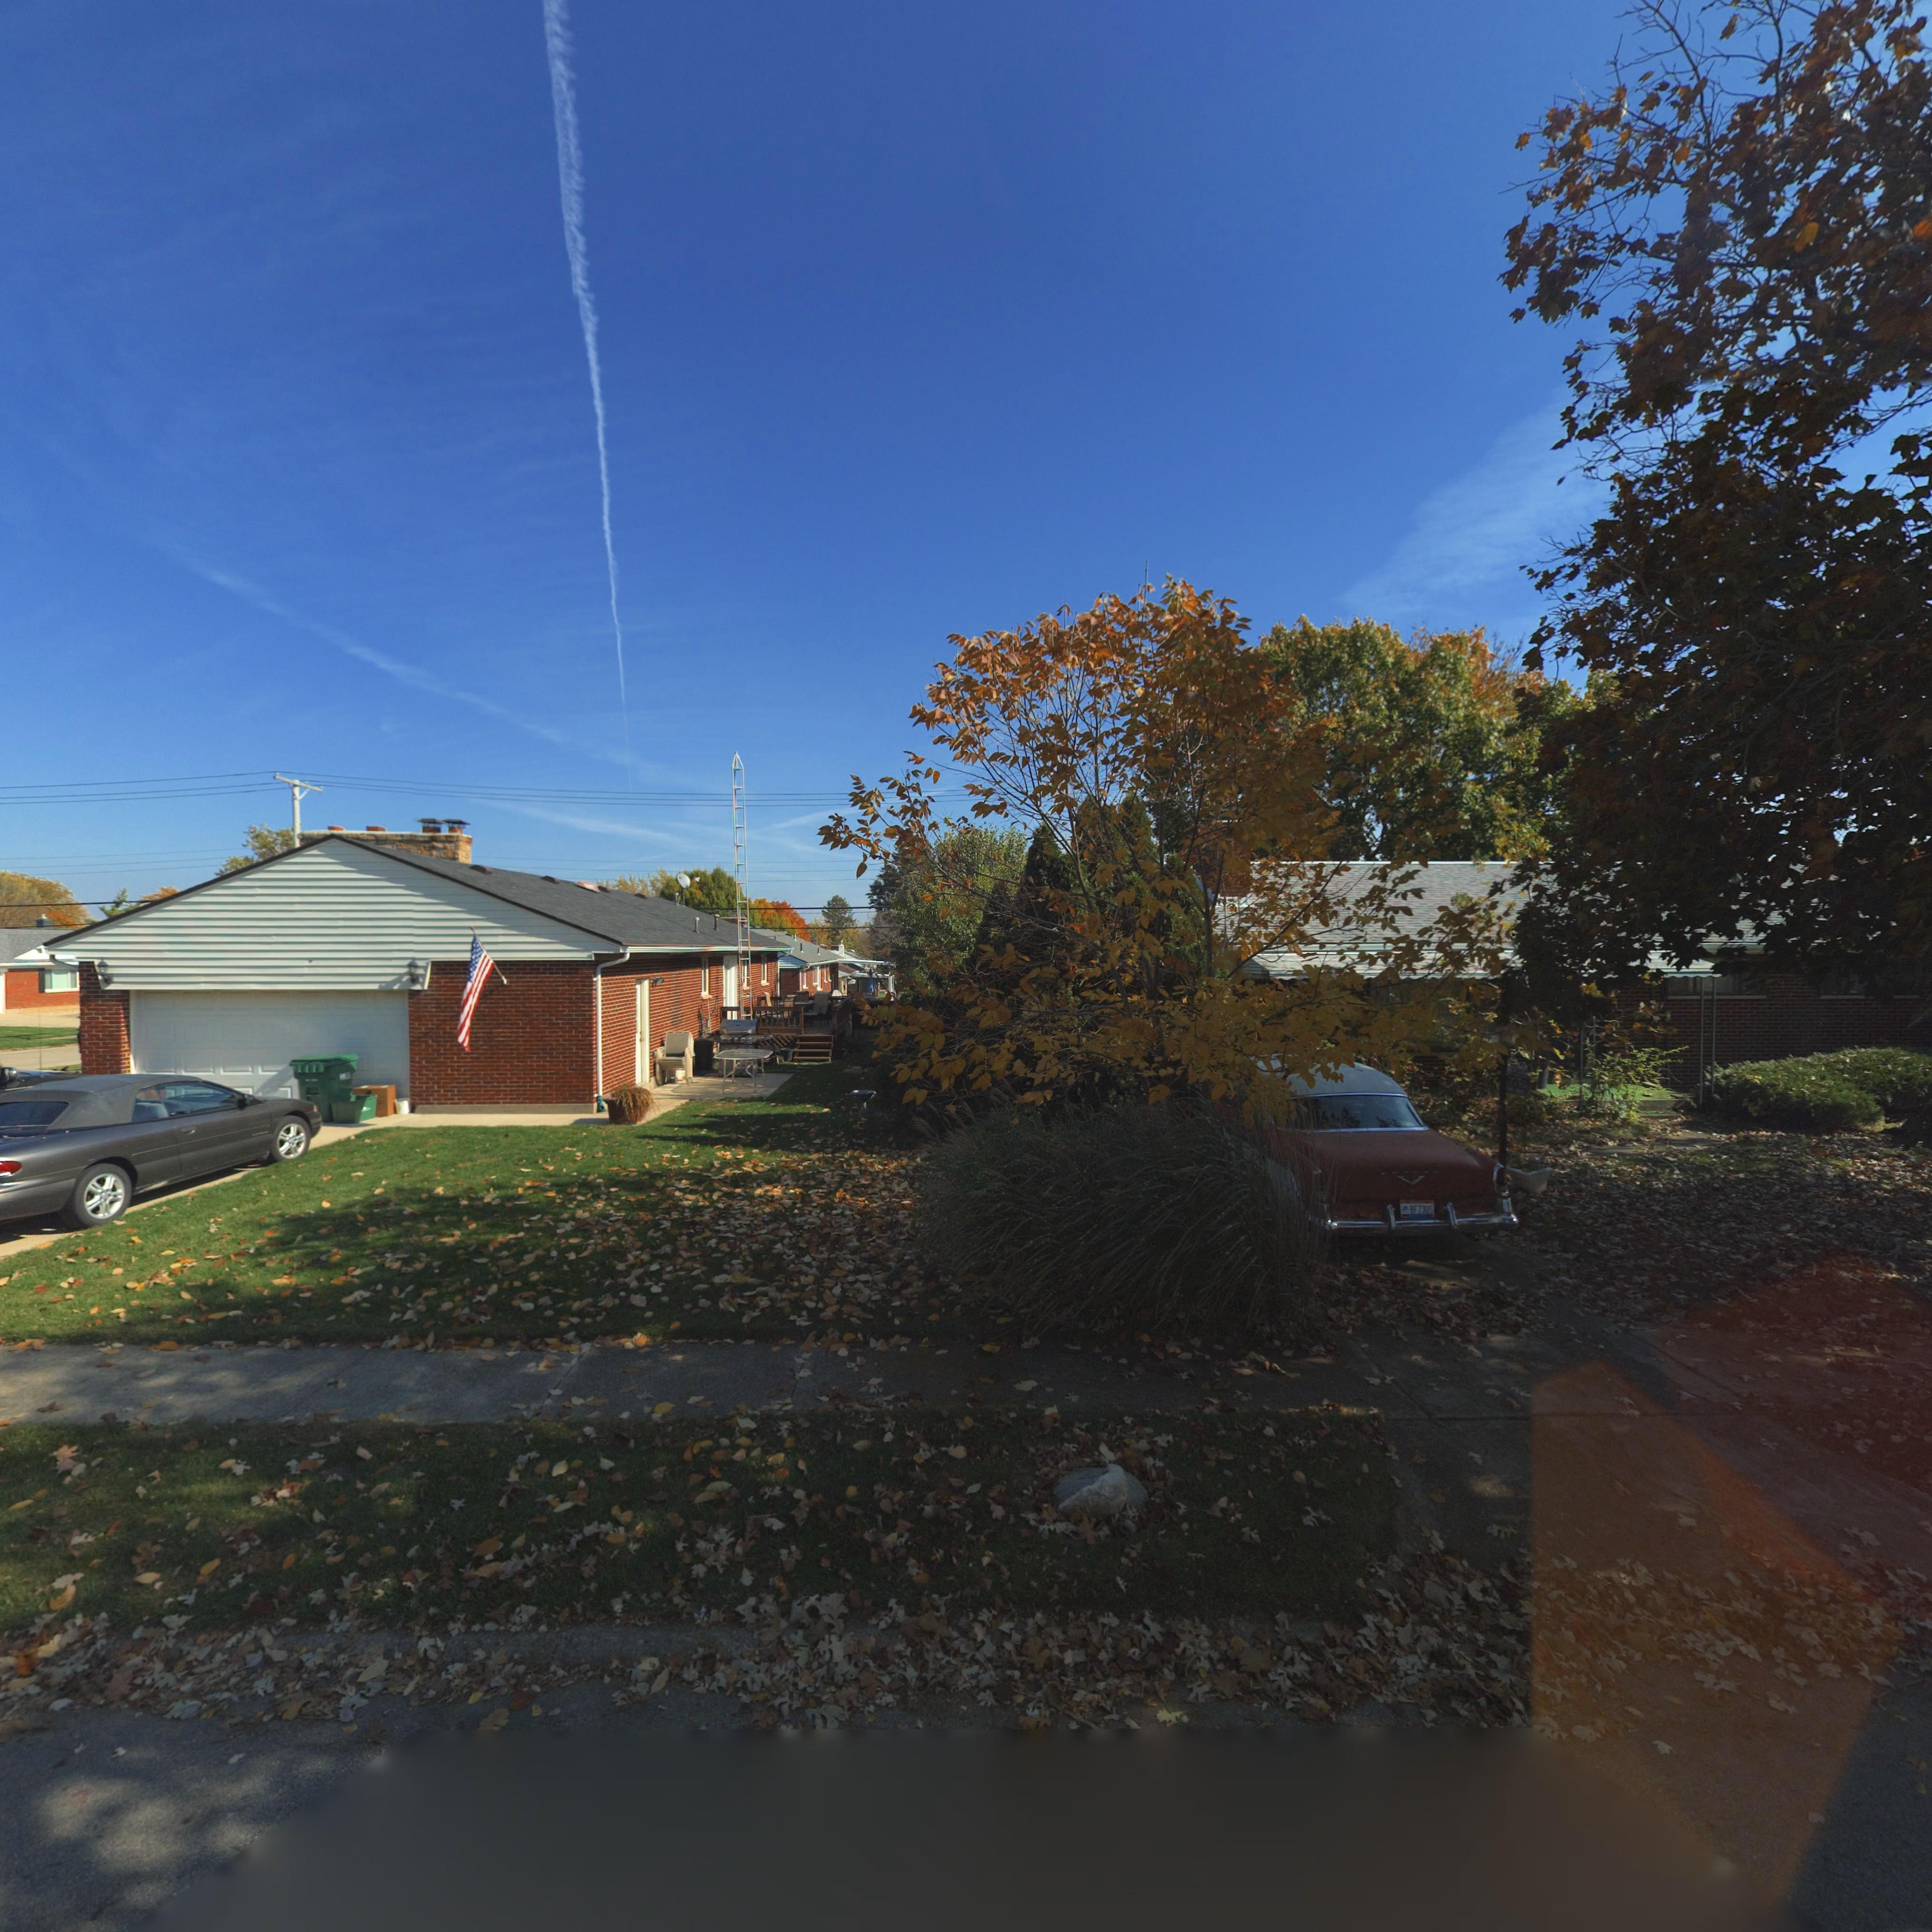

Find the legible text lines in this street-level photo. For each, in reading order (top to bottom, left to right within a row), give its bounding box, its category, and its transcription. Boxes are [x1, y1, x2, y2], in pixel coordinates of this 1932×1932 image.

[1409, 1204, 1434, 1215] None: BF73US